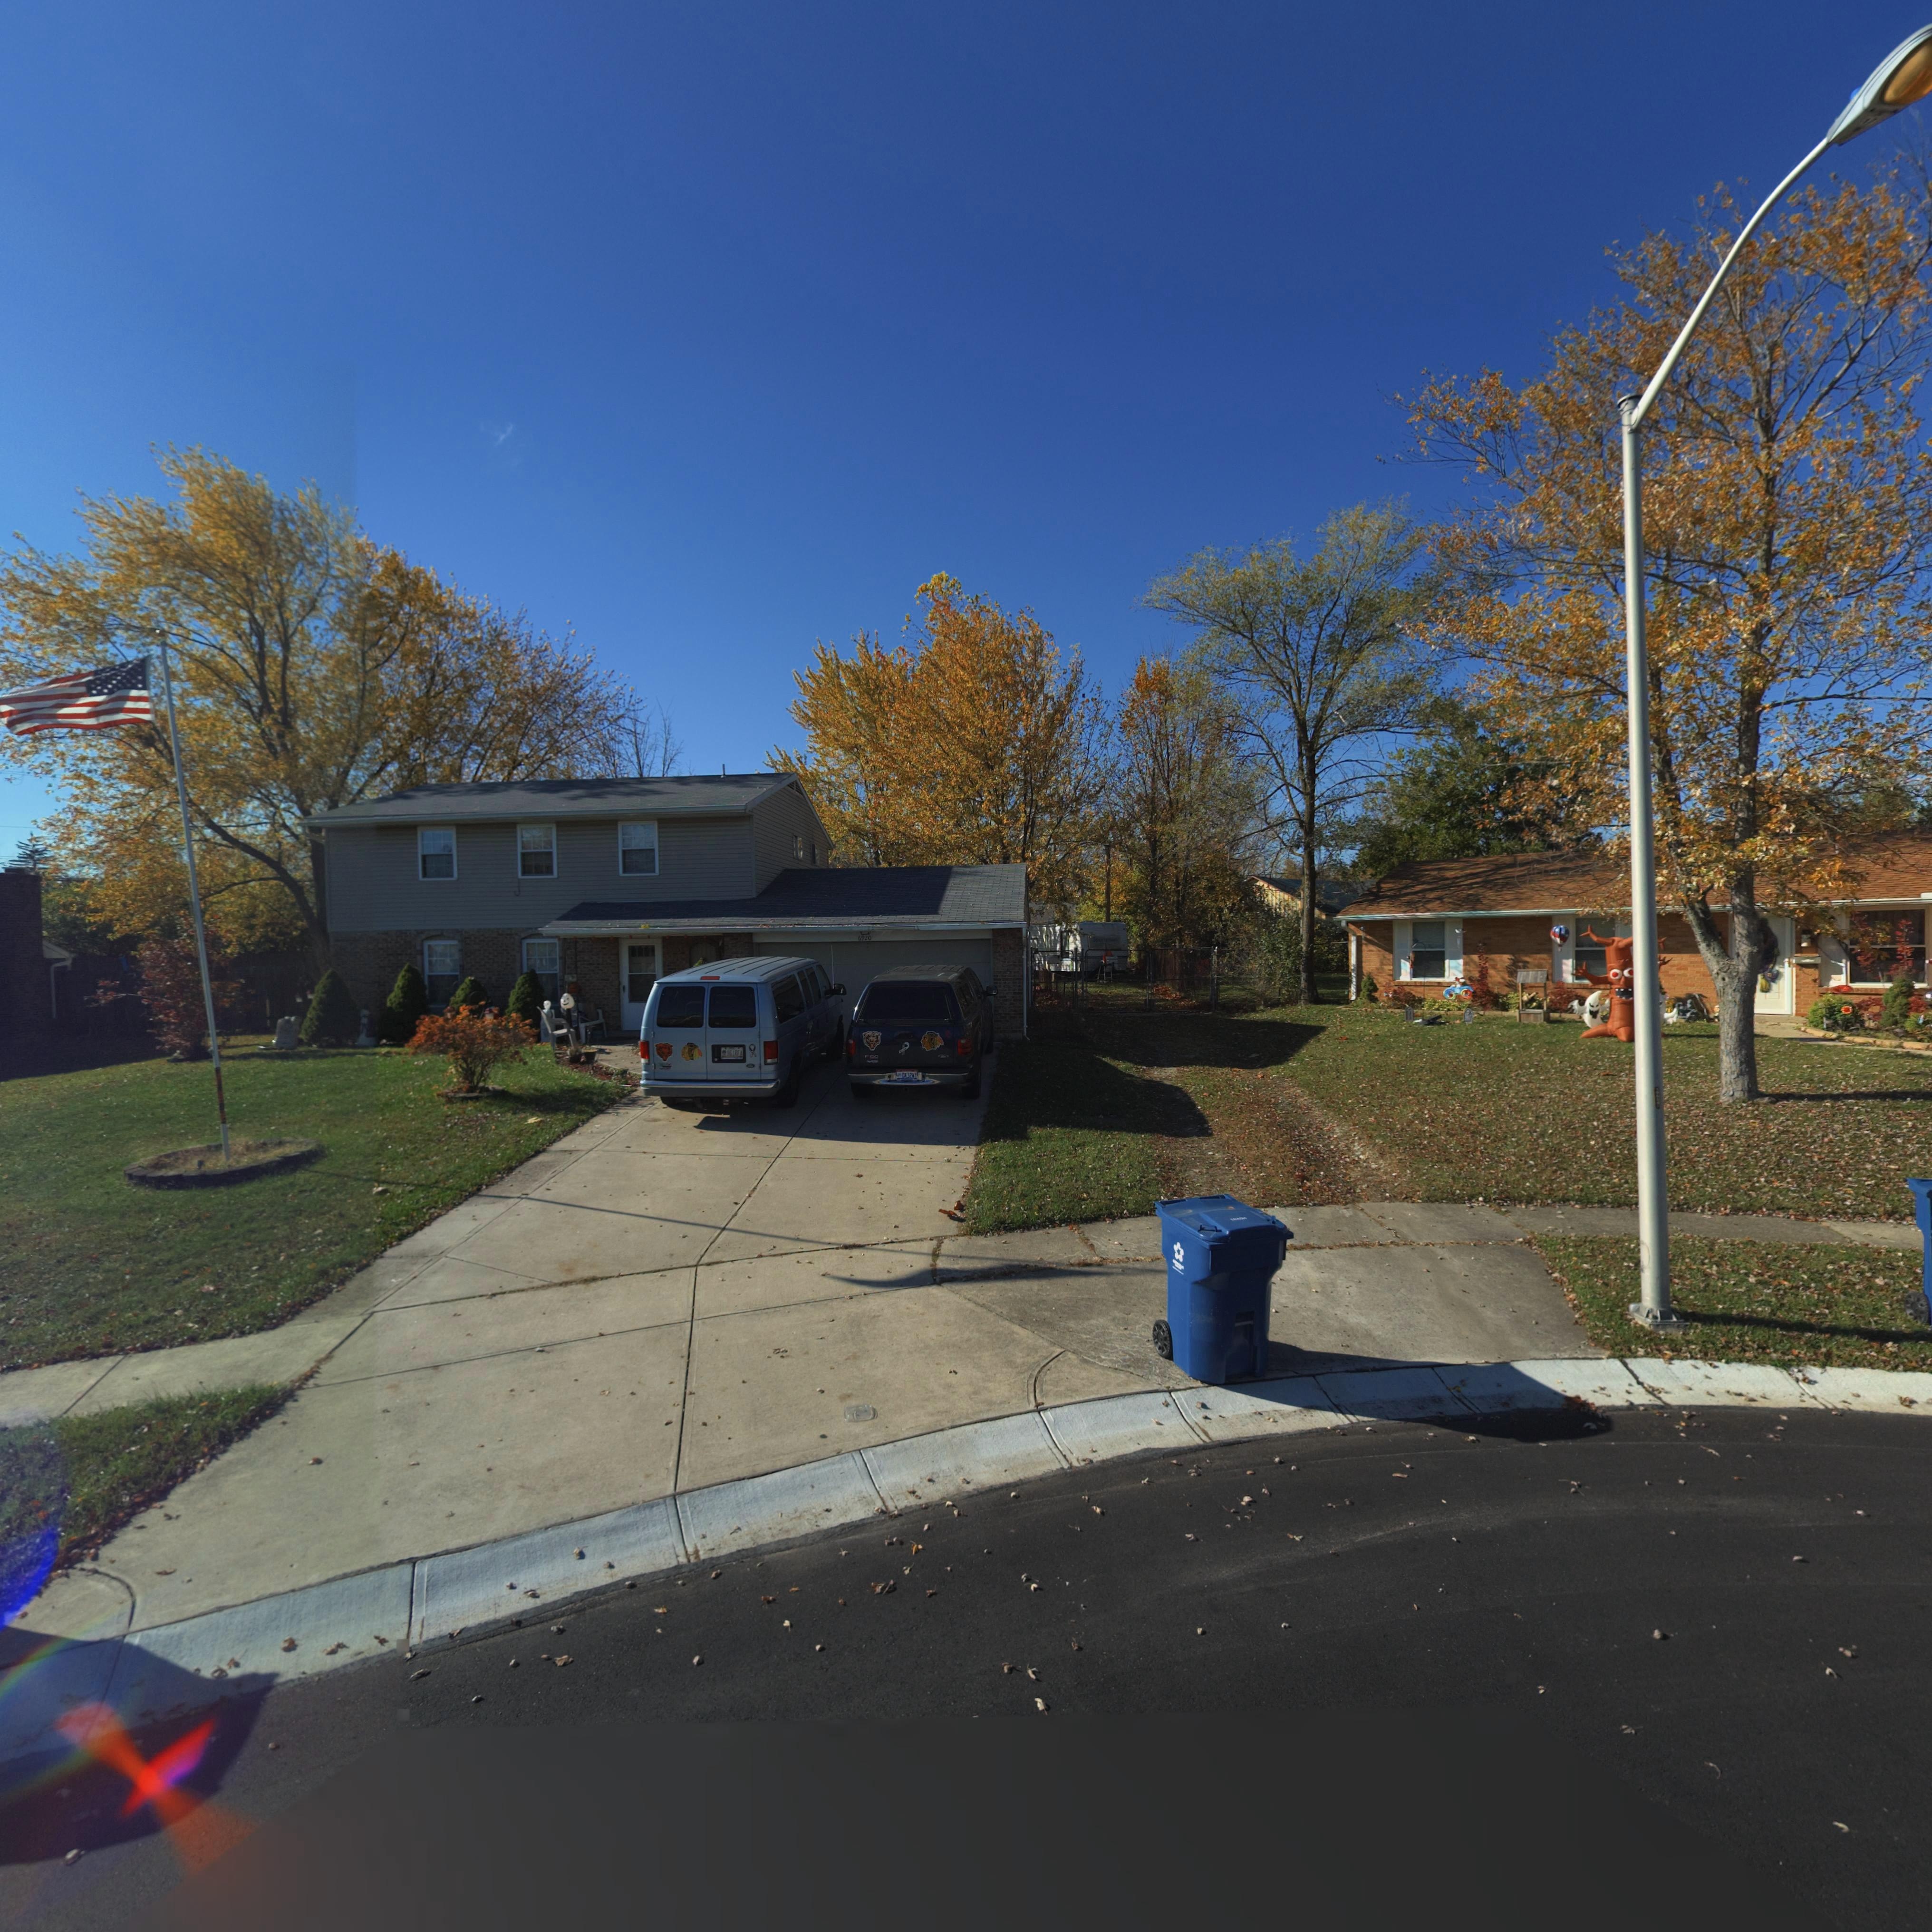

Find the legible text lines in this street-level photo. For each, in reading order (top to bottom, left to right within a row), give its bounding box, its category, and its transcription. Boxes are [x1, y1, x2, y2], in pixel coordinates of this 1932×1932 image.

[857, 935, 872, 942] StreetNumber: 6920